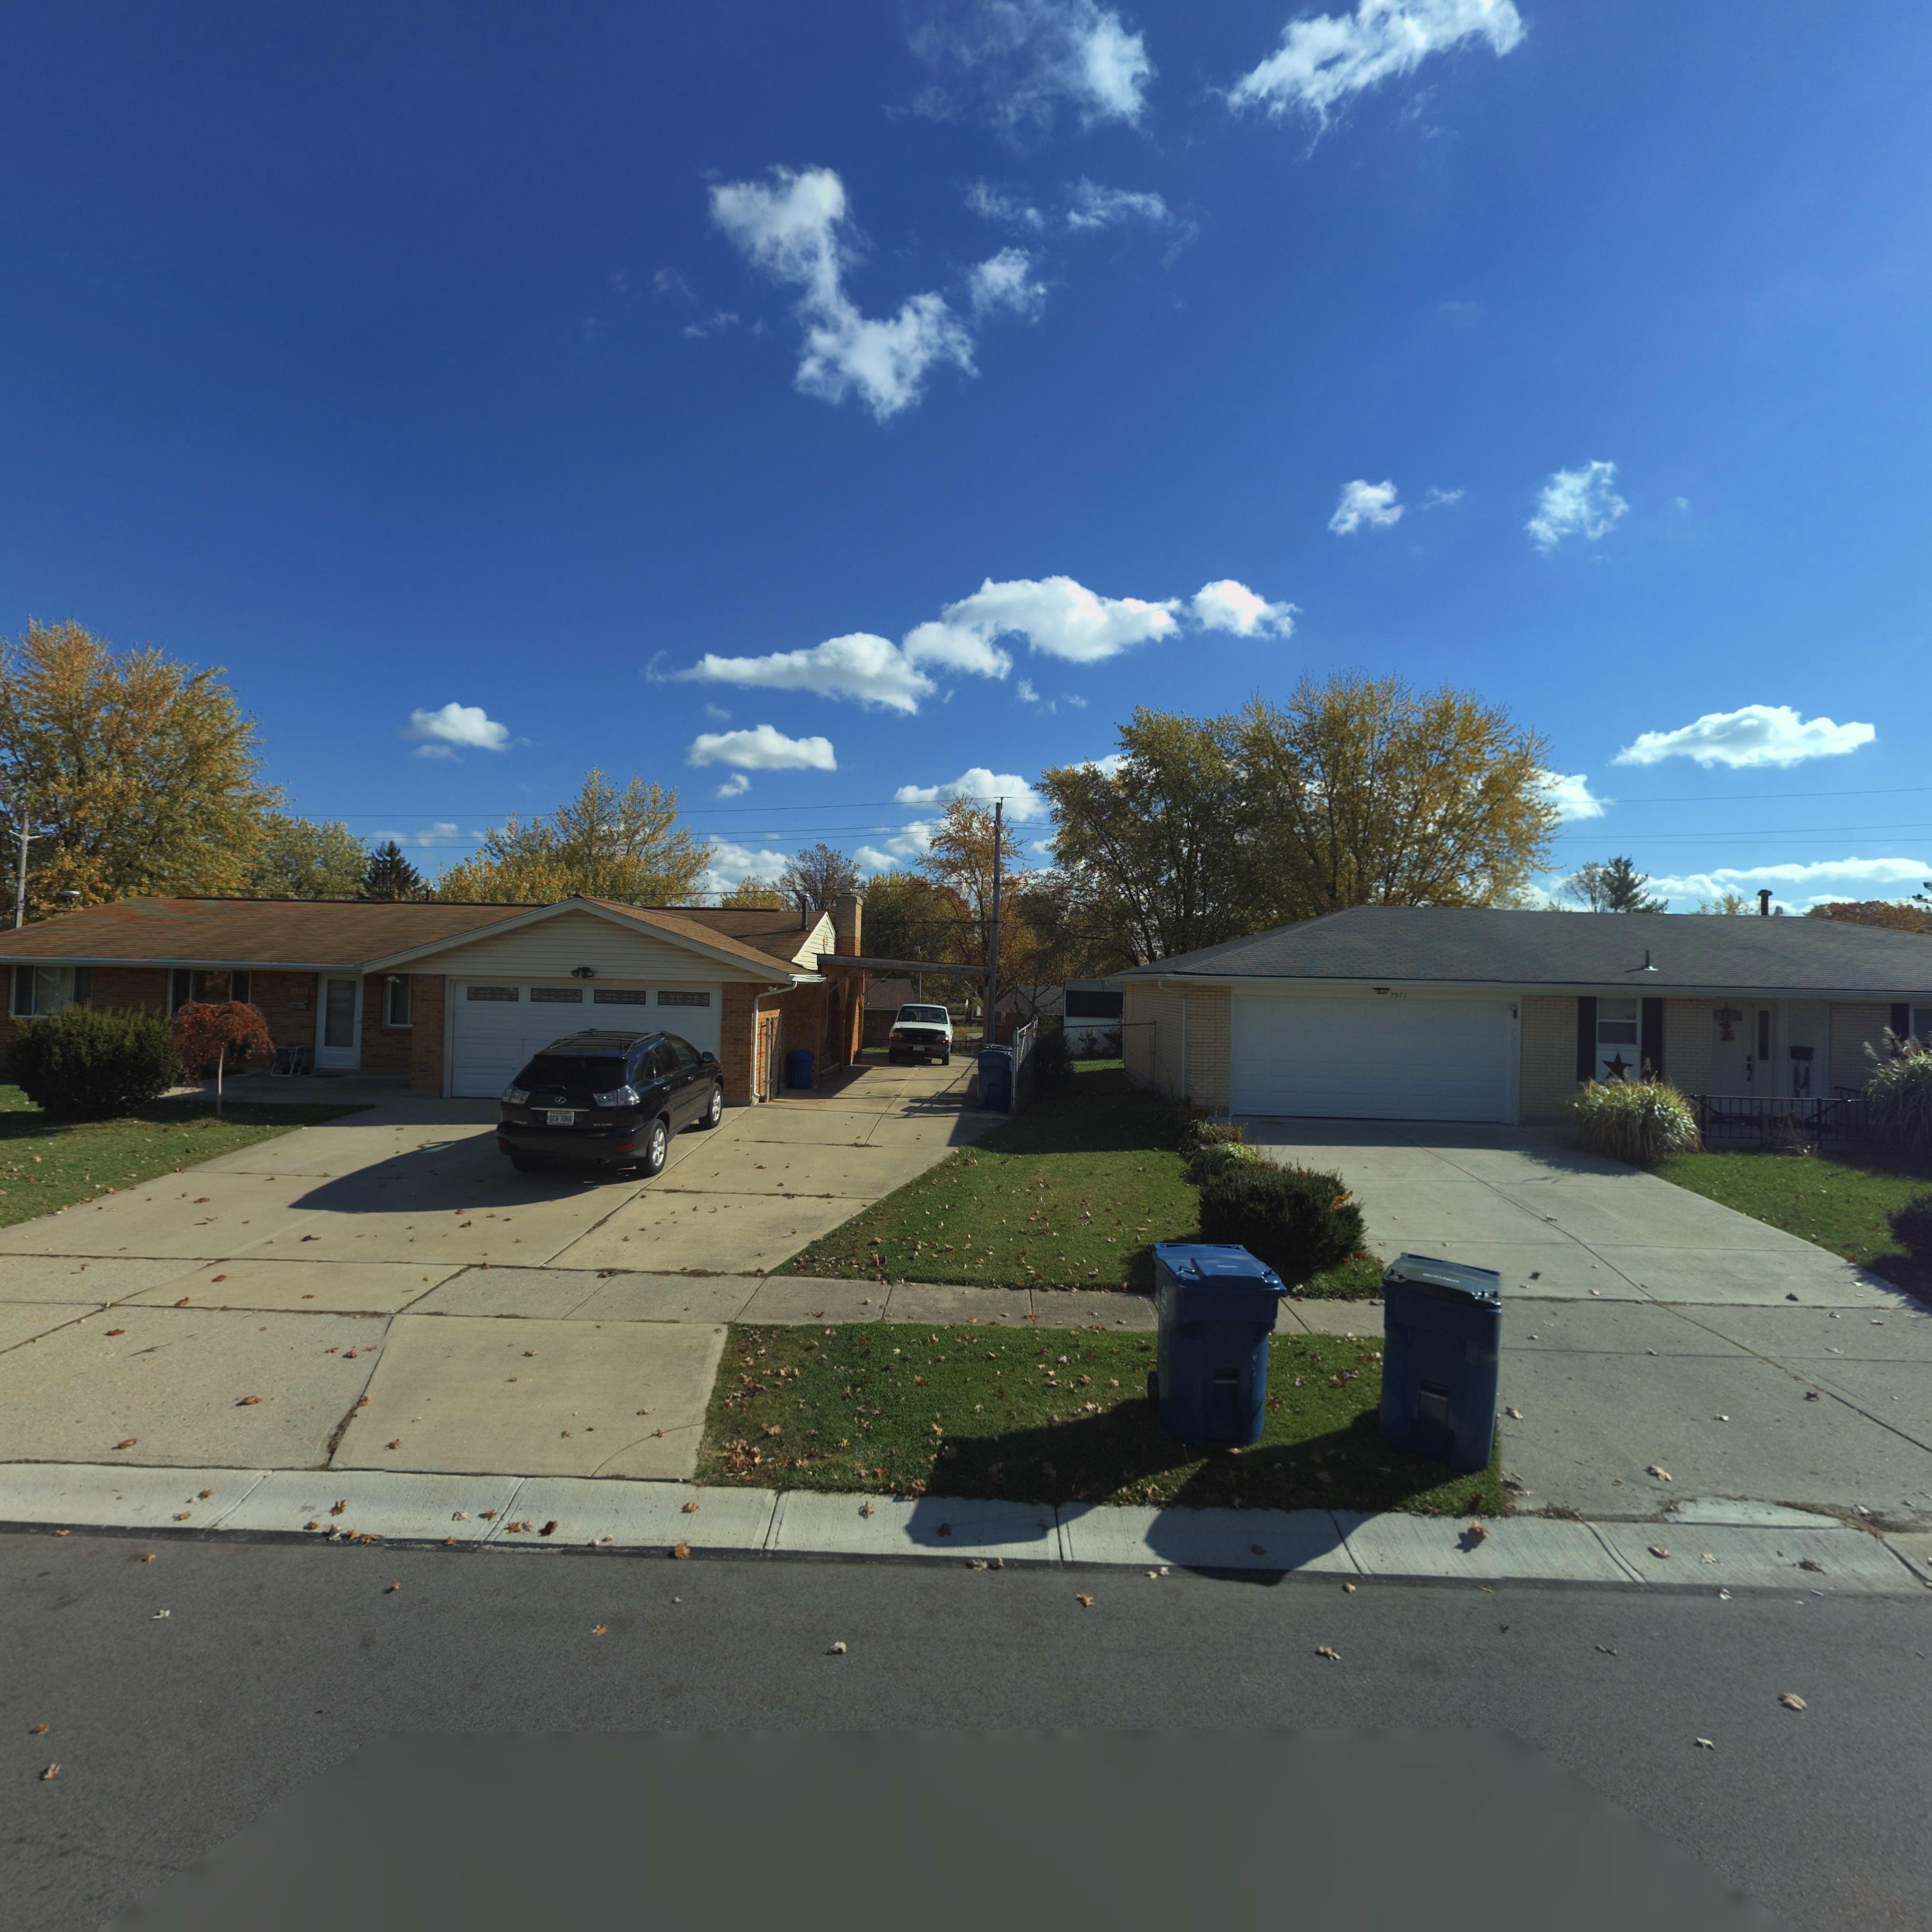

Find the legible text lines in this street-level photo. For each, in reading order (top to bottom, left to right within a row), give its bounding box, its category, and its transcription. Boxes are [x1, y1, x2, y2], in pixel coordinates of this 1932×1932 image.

[1389, 991, 1408, 1000] StreetNumber: 7571